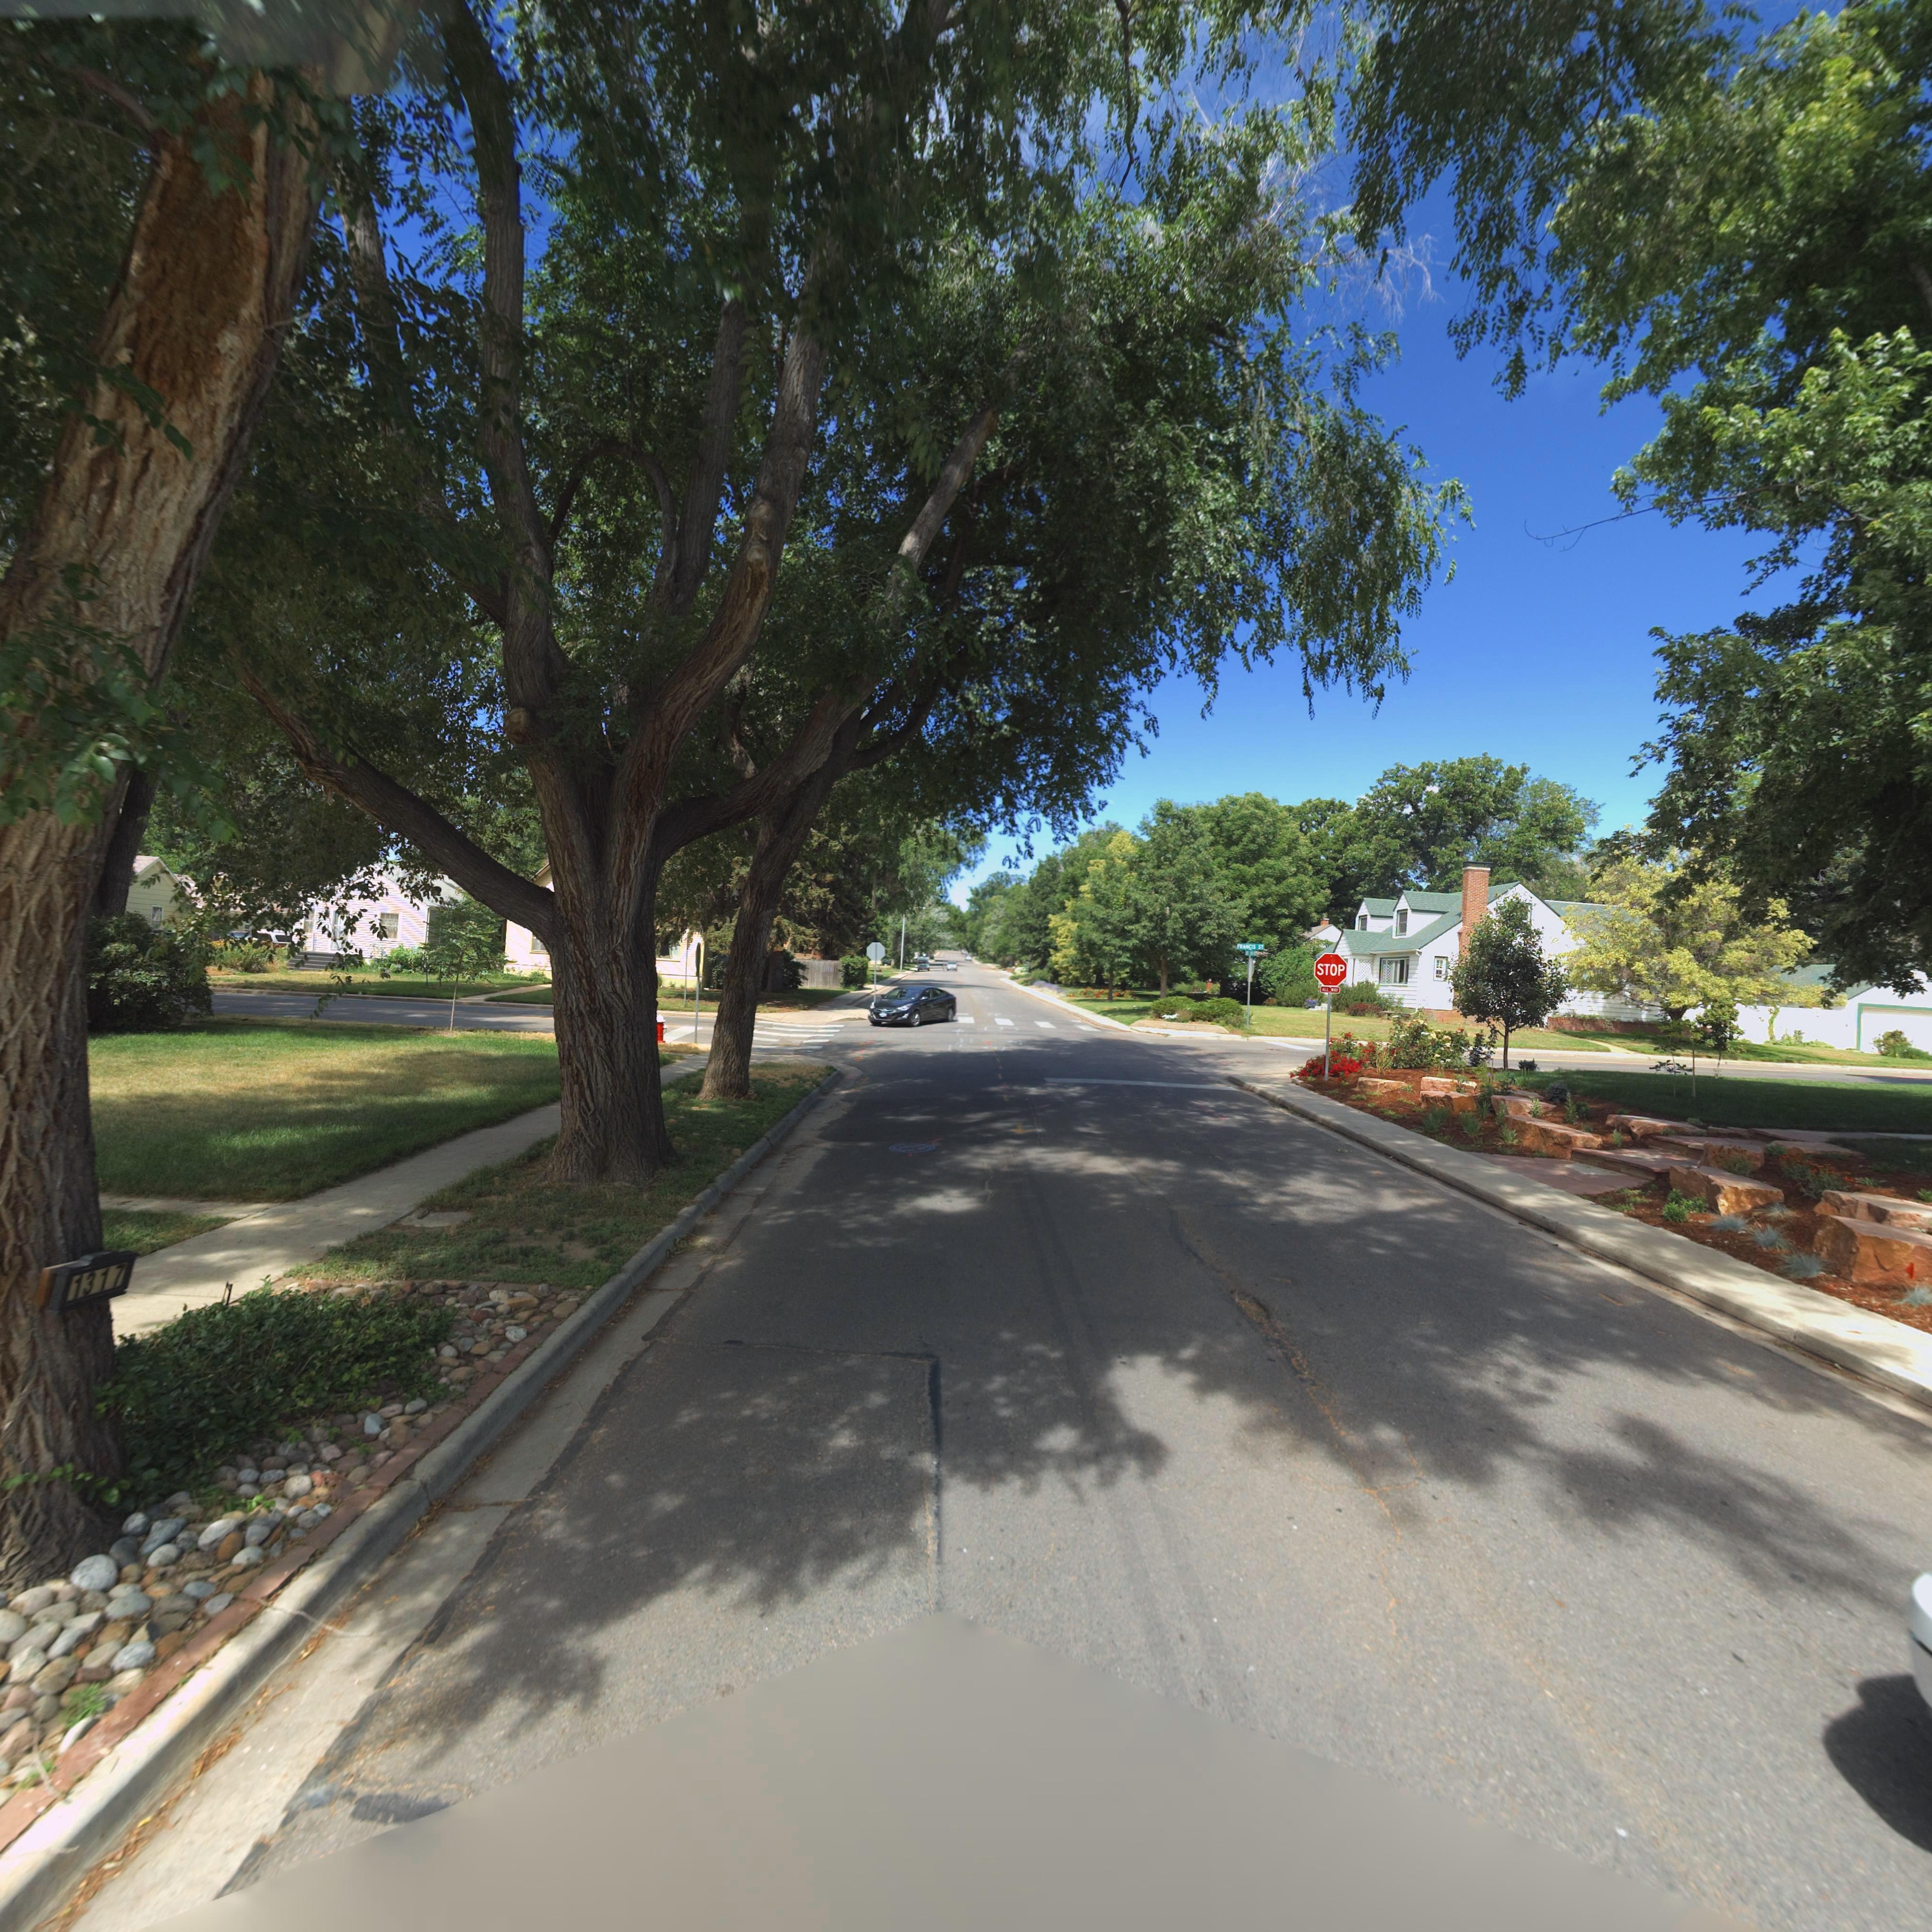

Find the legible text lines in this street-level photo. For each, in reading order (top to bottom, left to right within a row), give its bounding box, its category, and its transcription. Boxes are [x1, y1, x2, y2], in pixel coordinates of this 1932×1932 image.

[1236, 944, 1264, 949] StreetName: FRANCIS ST
[72, 1262, 128, 1300] StreetNumber: 1317